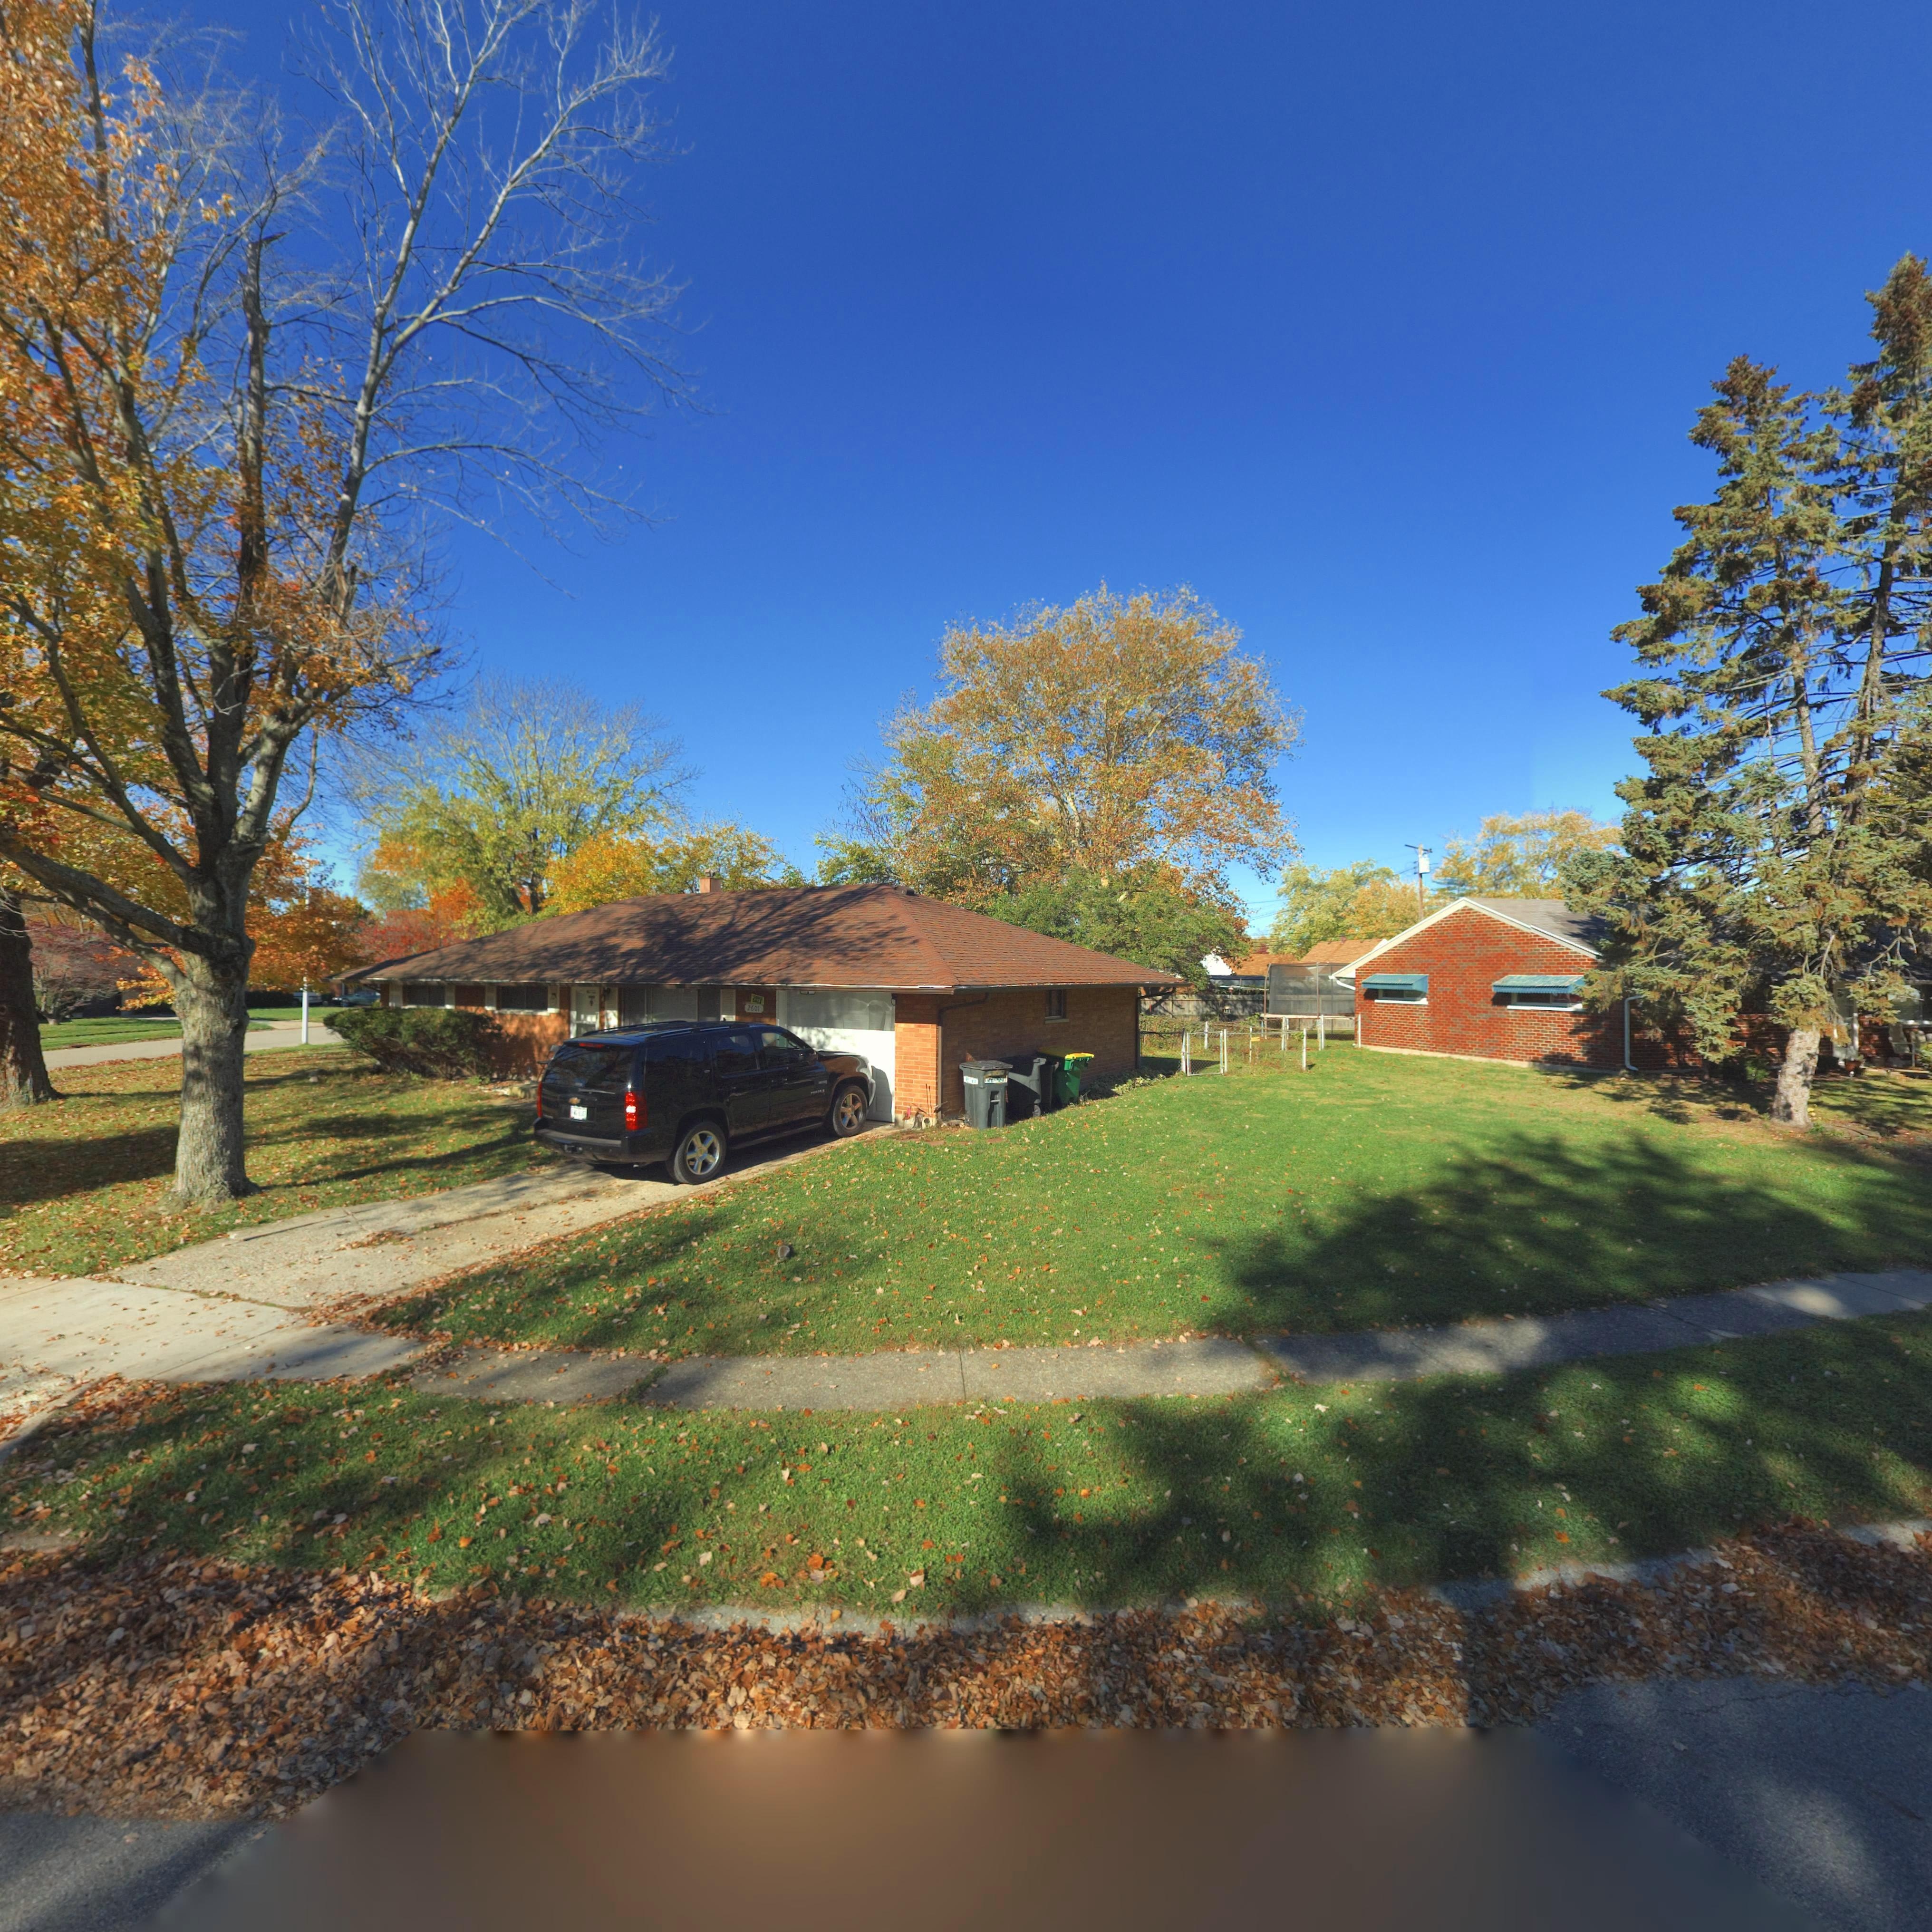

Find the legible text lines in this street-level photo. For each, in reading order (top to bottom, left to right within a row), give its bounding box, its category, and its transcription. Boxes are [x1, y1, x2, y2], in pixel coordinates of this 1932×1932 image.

[746, 1004, 760, 1013] StreetNumber: 2601